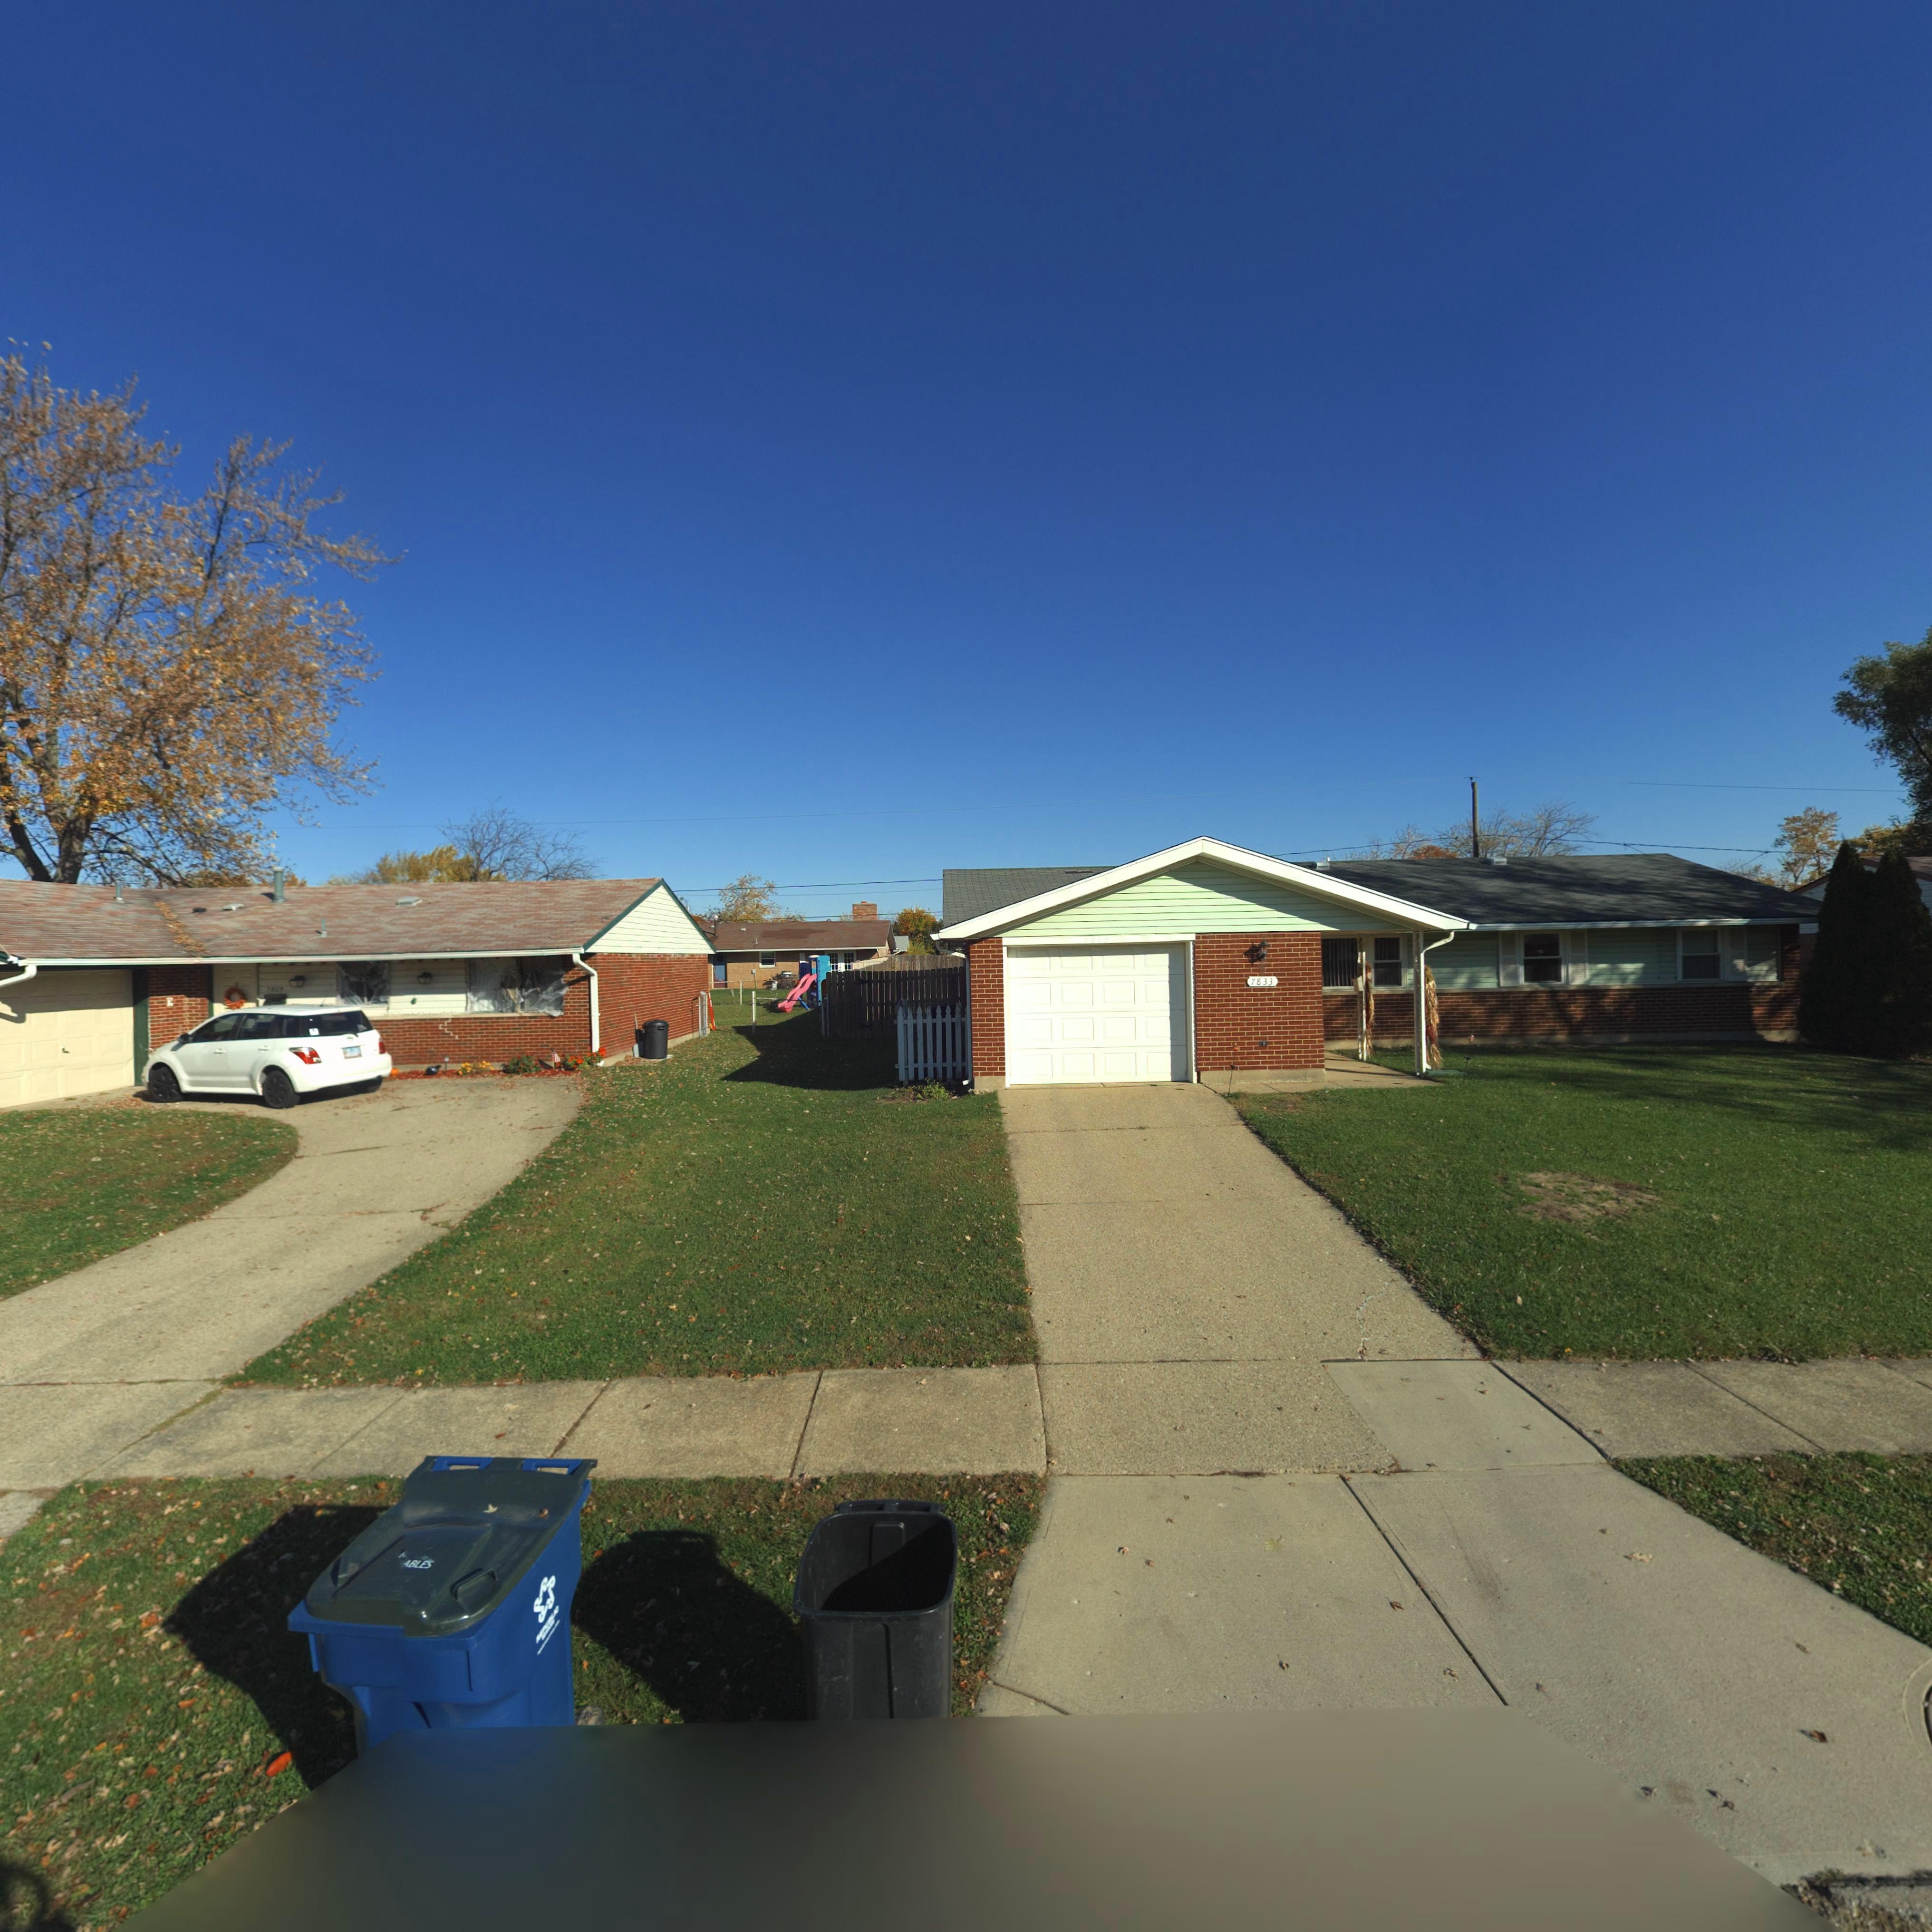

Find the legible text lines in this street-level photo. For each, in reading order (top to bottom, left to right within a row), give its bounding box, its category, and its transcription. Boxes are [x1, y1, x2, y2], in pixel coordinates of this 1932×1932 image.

[1251, 978, 1273, 986] StreetNumber: 7833
[266, 986, 285, 993] StreetNumber: 7*29